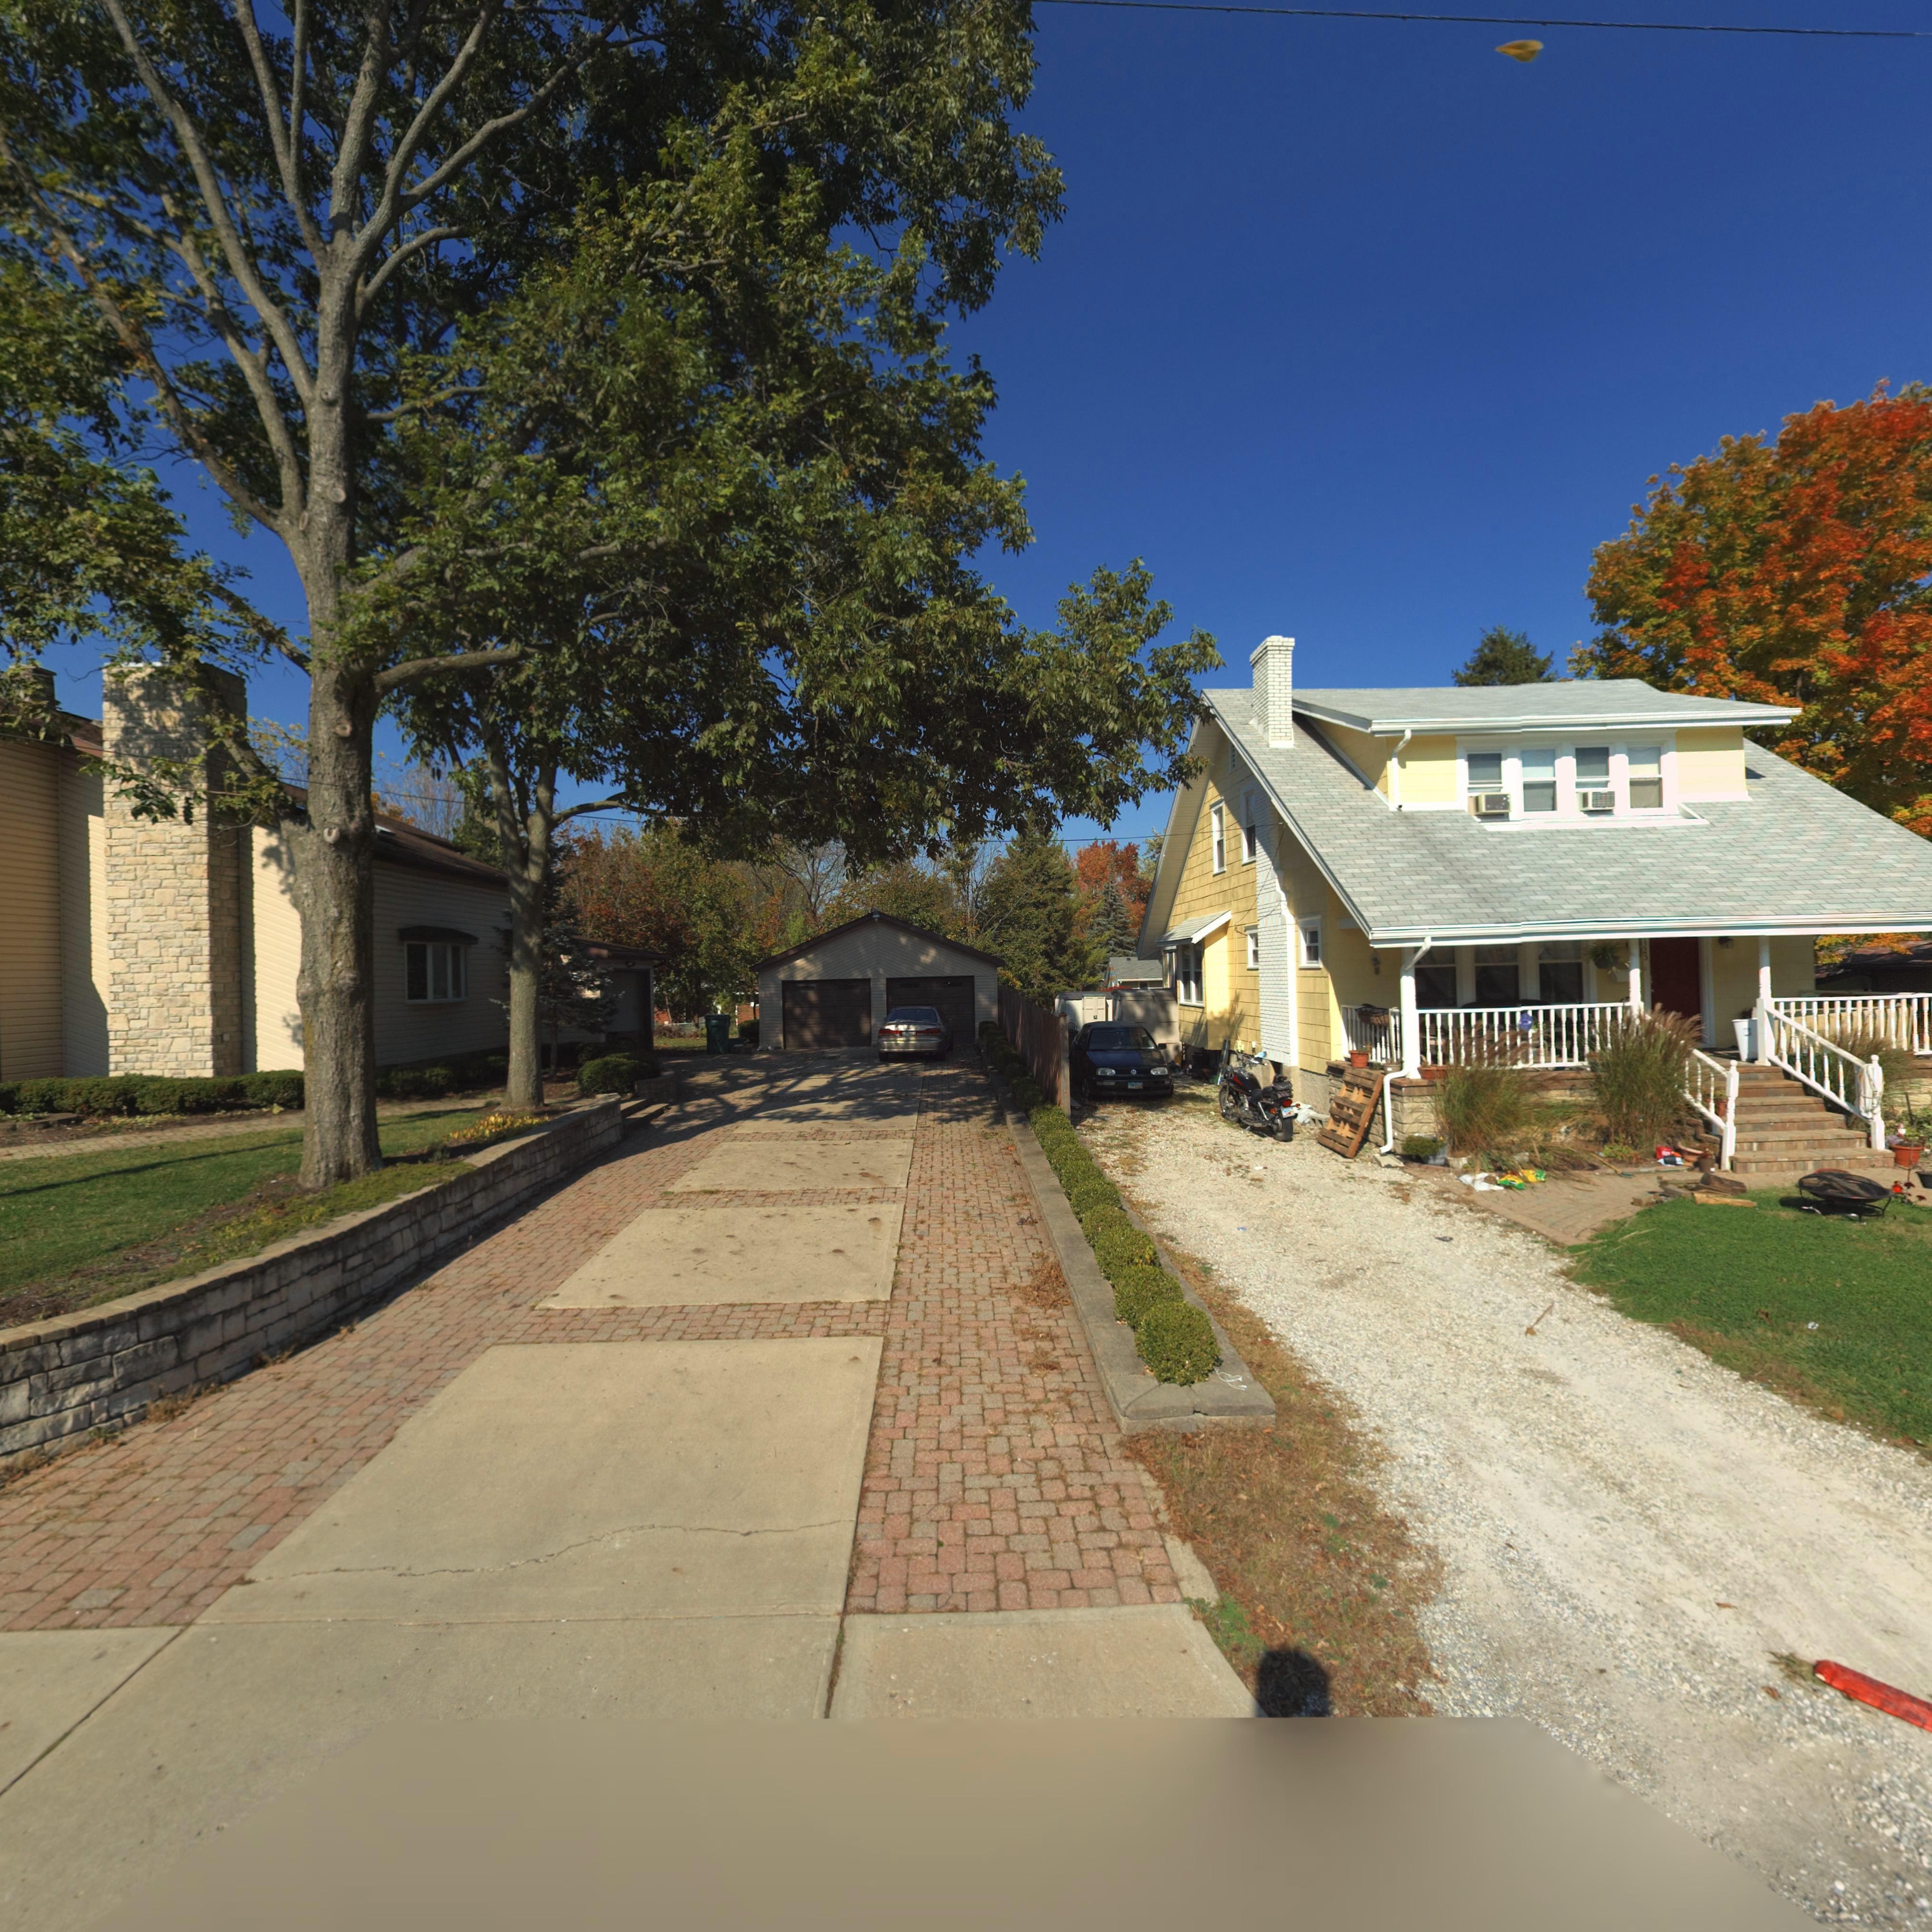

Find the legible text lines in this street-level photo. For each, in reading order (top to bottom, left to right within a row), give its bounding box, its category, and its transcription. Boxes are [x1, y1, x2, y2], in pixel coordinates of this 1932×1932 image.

[1642, 939, 1648, 960] StreetNumber: 325